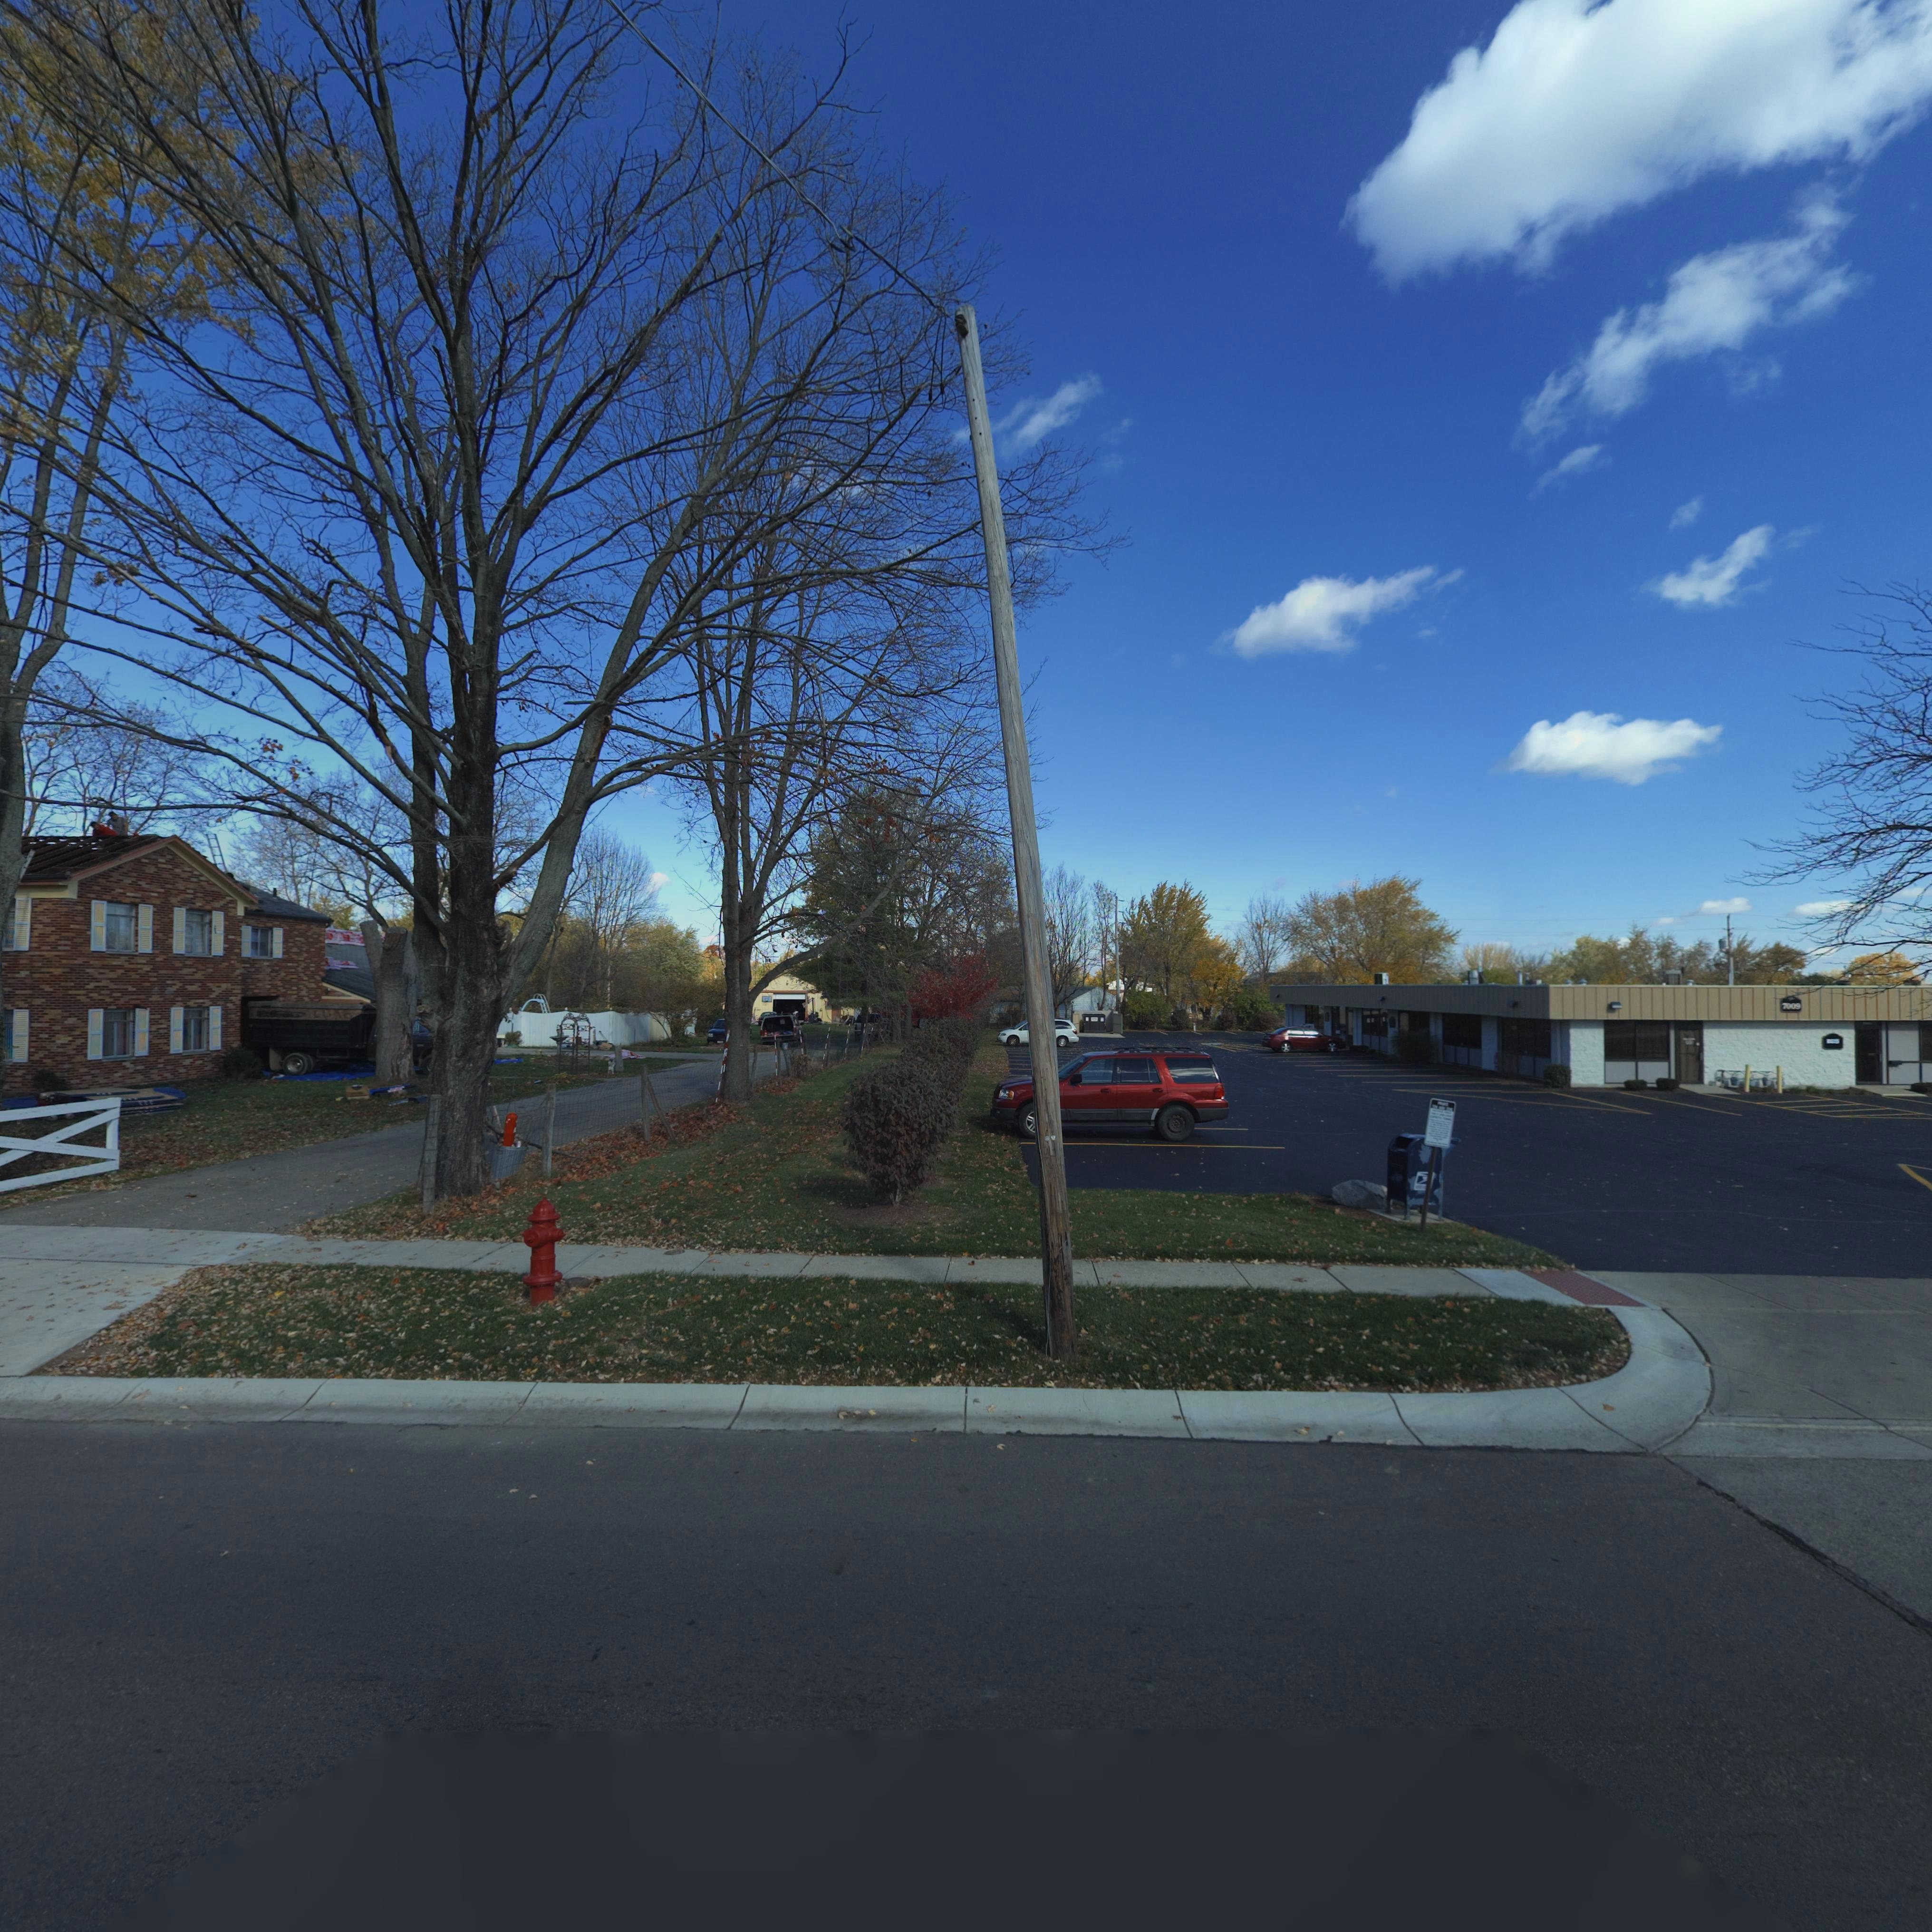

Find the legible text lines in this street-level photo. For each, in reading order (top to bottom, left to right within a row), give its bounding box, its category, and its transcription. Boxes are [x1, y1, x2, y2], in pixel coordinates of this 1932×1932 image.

[1781, 1002, 1802, 1011] StreetNumber: 7009